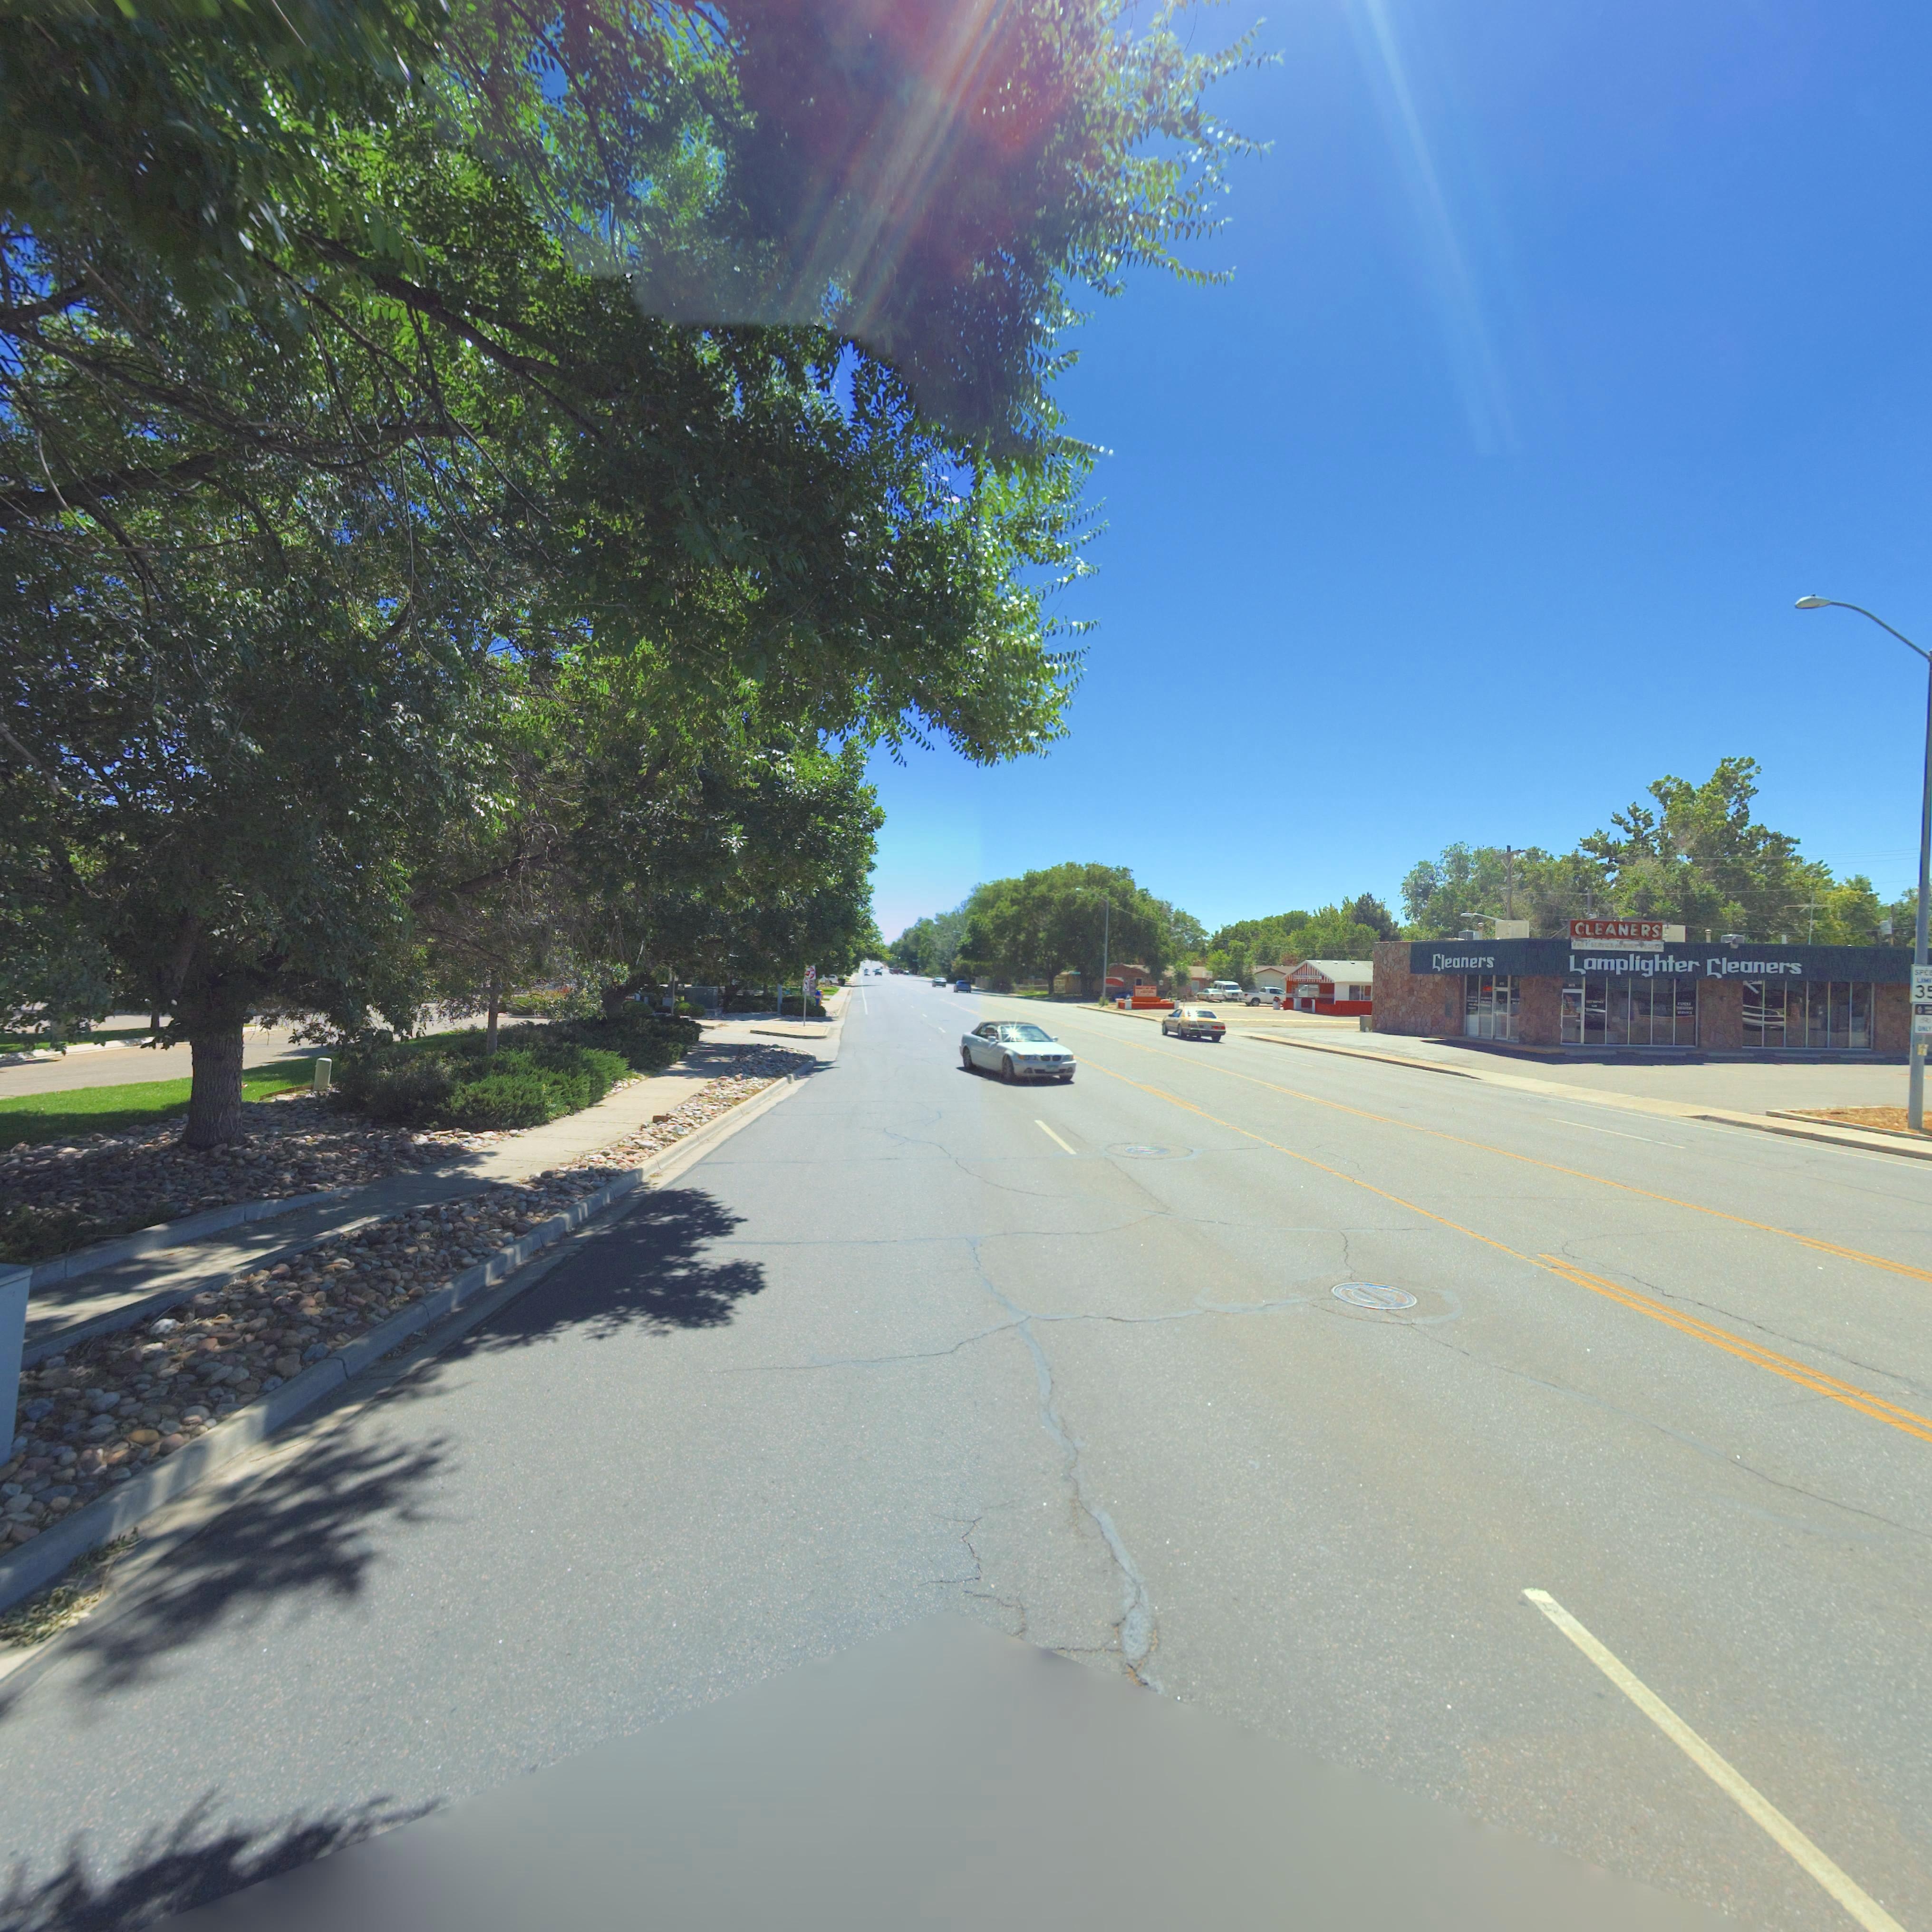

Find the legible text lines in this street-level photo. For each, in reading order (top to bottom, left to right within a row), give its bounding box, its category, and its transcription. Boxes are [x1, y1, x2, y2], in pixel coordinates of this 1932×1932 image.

[1568, 953, 1700, 978] BusinessName: Lamplighter
[1706, 956, 1802, 979] BusinessName: Cleaners